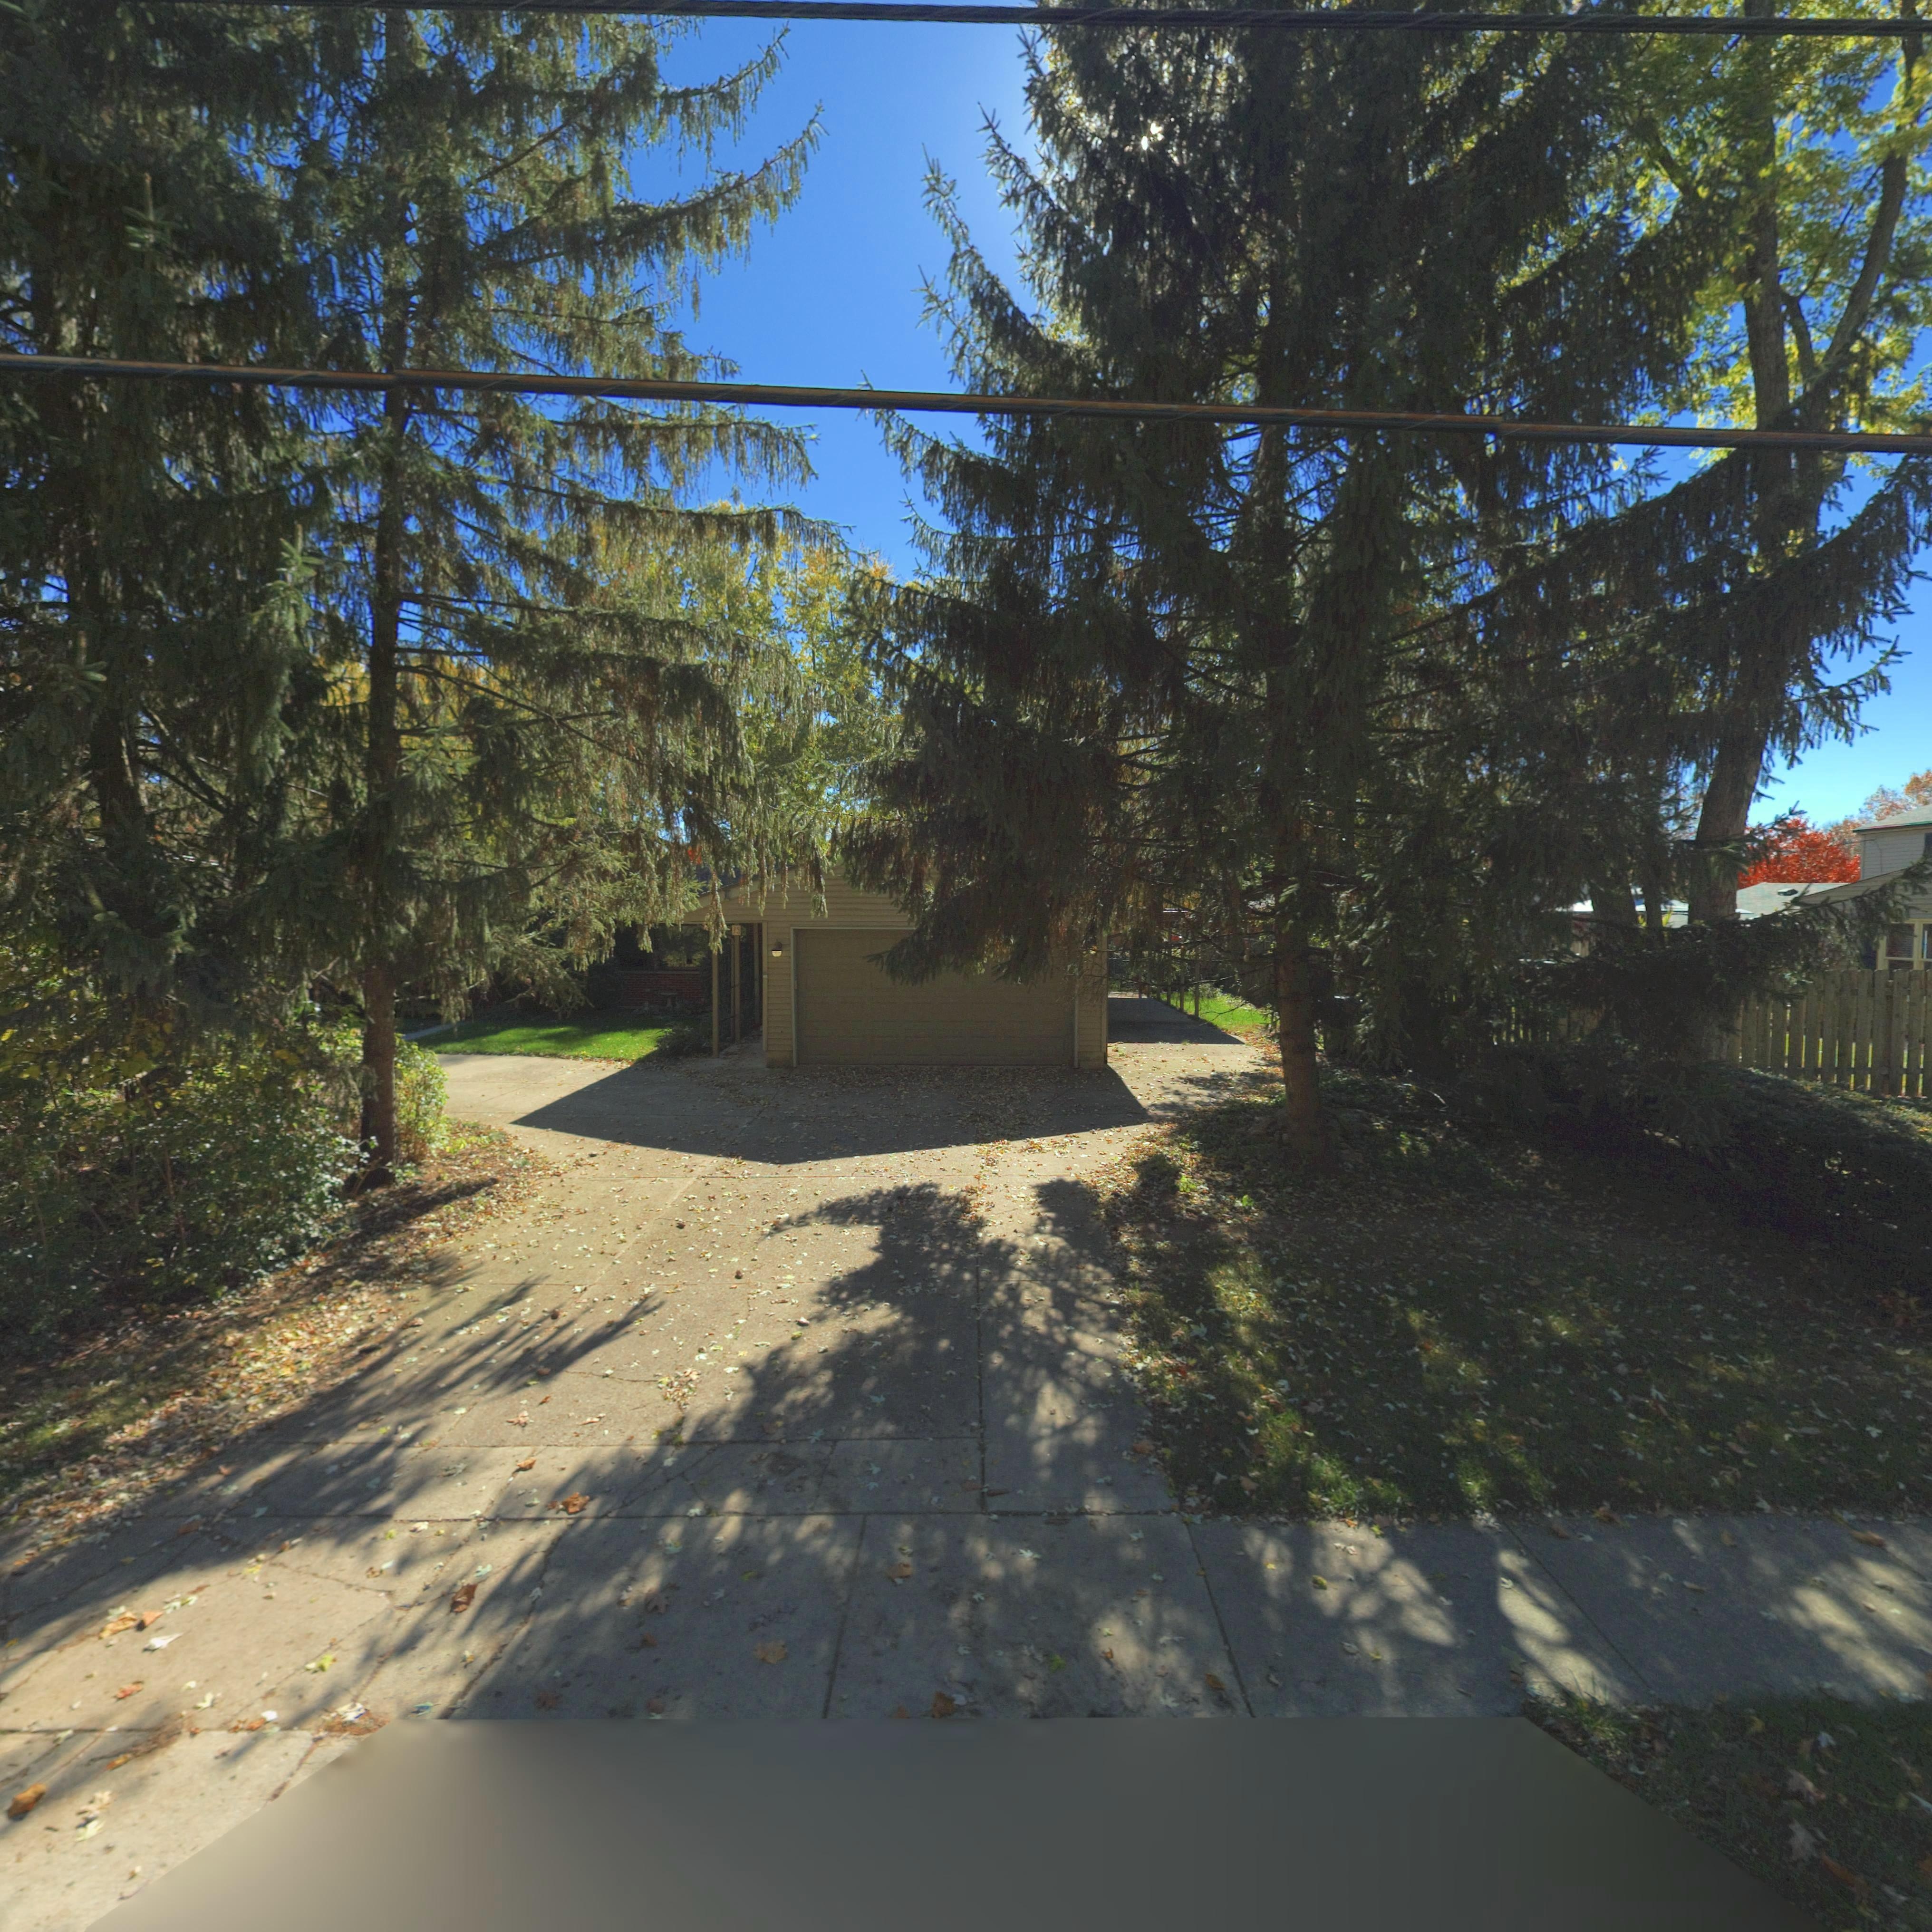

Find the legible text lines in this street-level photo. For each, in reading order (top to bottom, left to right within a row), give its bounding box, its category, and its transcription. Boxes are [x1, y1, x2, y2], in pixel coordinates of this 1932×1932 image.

[732, 926, 740, 935] StreetNumber: 7*